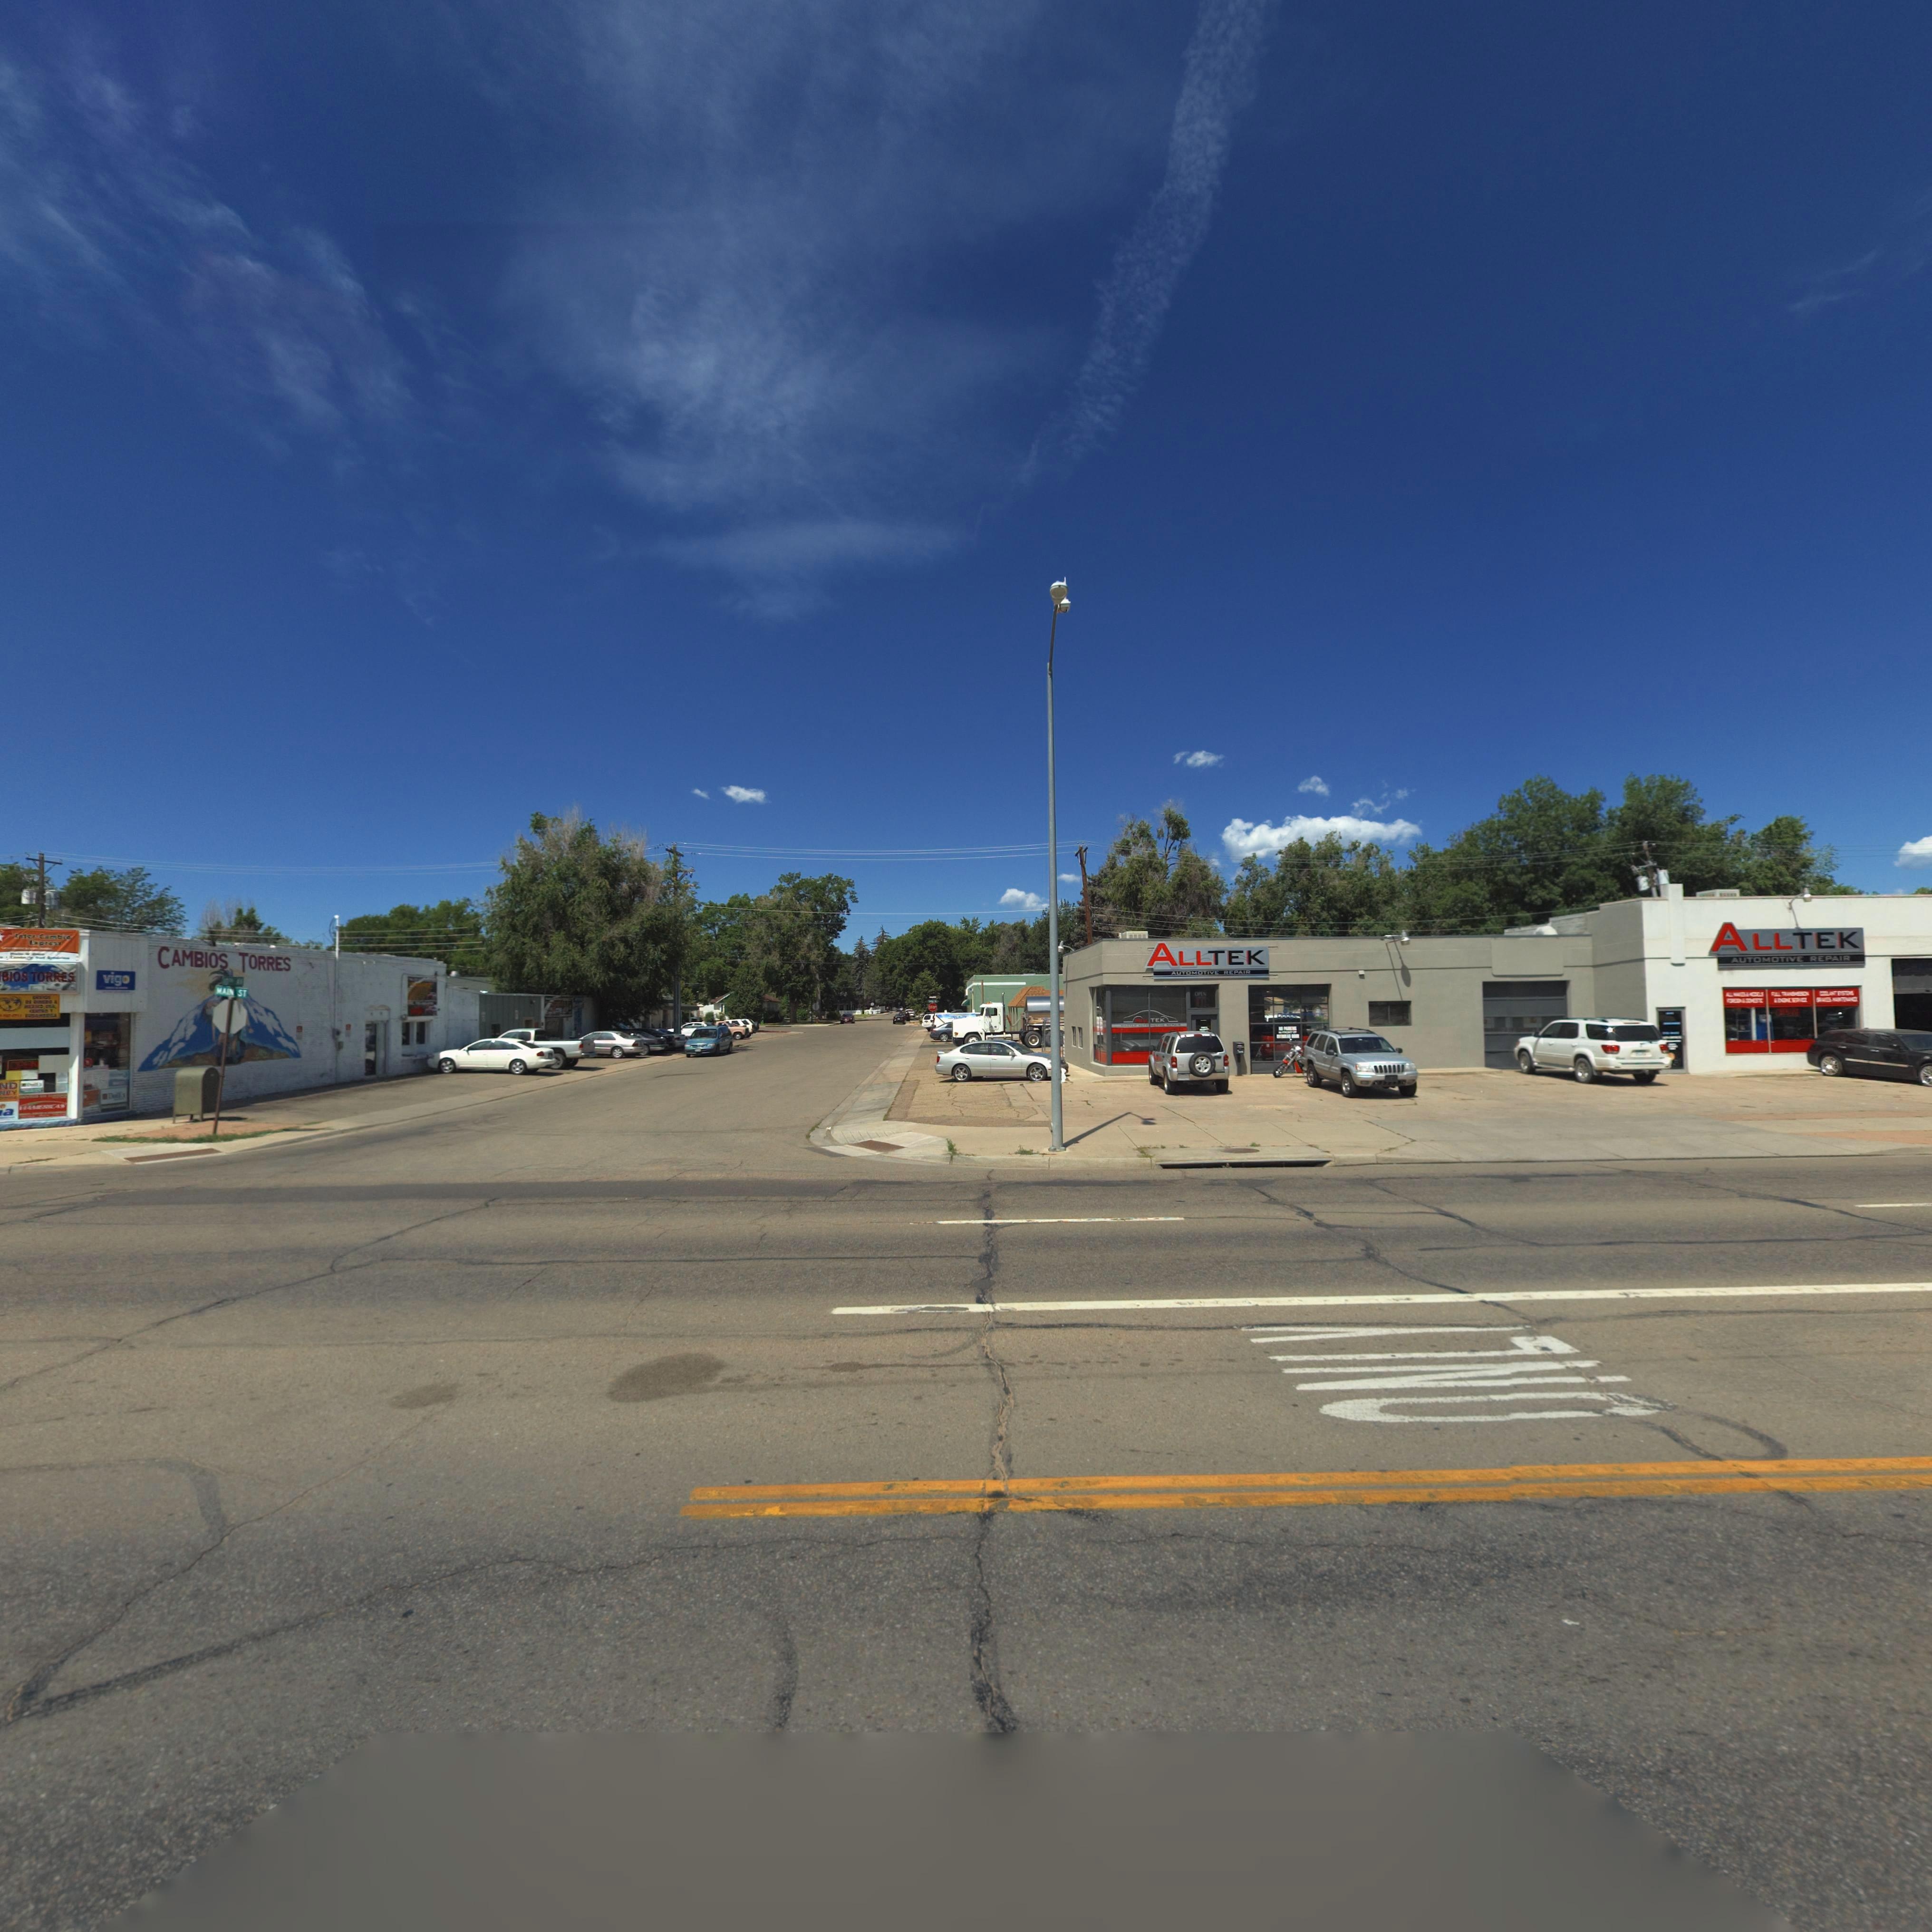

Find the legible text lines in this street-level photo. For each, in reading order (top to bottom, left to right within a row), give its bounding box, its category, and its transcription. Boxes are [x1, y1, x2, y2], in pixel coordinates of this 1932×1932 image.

[1710, 923, 1860, 952] BusinessName: ALLTEK
[156, 946, 290, 973] BusinessName: CAMBIOS TORRES
[1145, 942, 1265, 966] BusinessName: ALLTEK
[1730, 955, 1851, 963] BusinessName: AUTOMOTIVE REPAIR
[2, 971, 75, 982] BusinessName: BIOS TORRES
[222, 977, 243, 985] StreetName: 10TH AV
[1170, 970, 1250, 975] BusinessName: AUTOMOTIVE REPAIR
[215, 986, 247, 997] StreetName: MAIN ST
[1134, 1017, 1165, 1023] BusinessName: ALLTEK